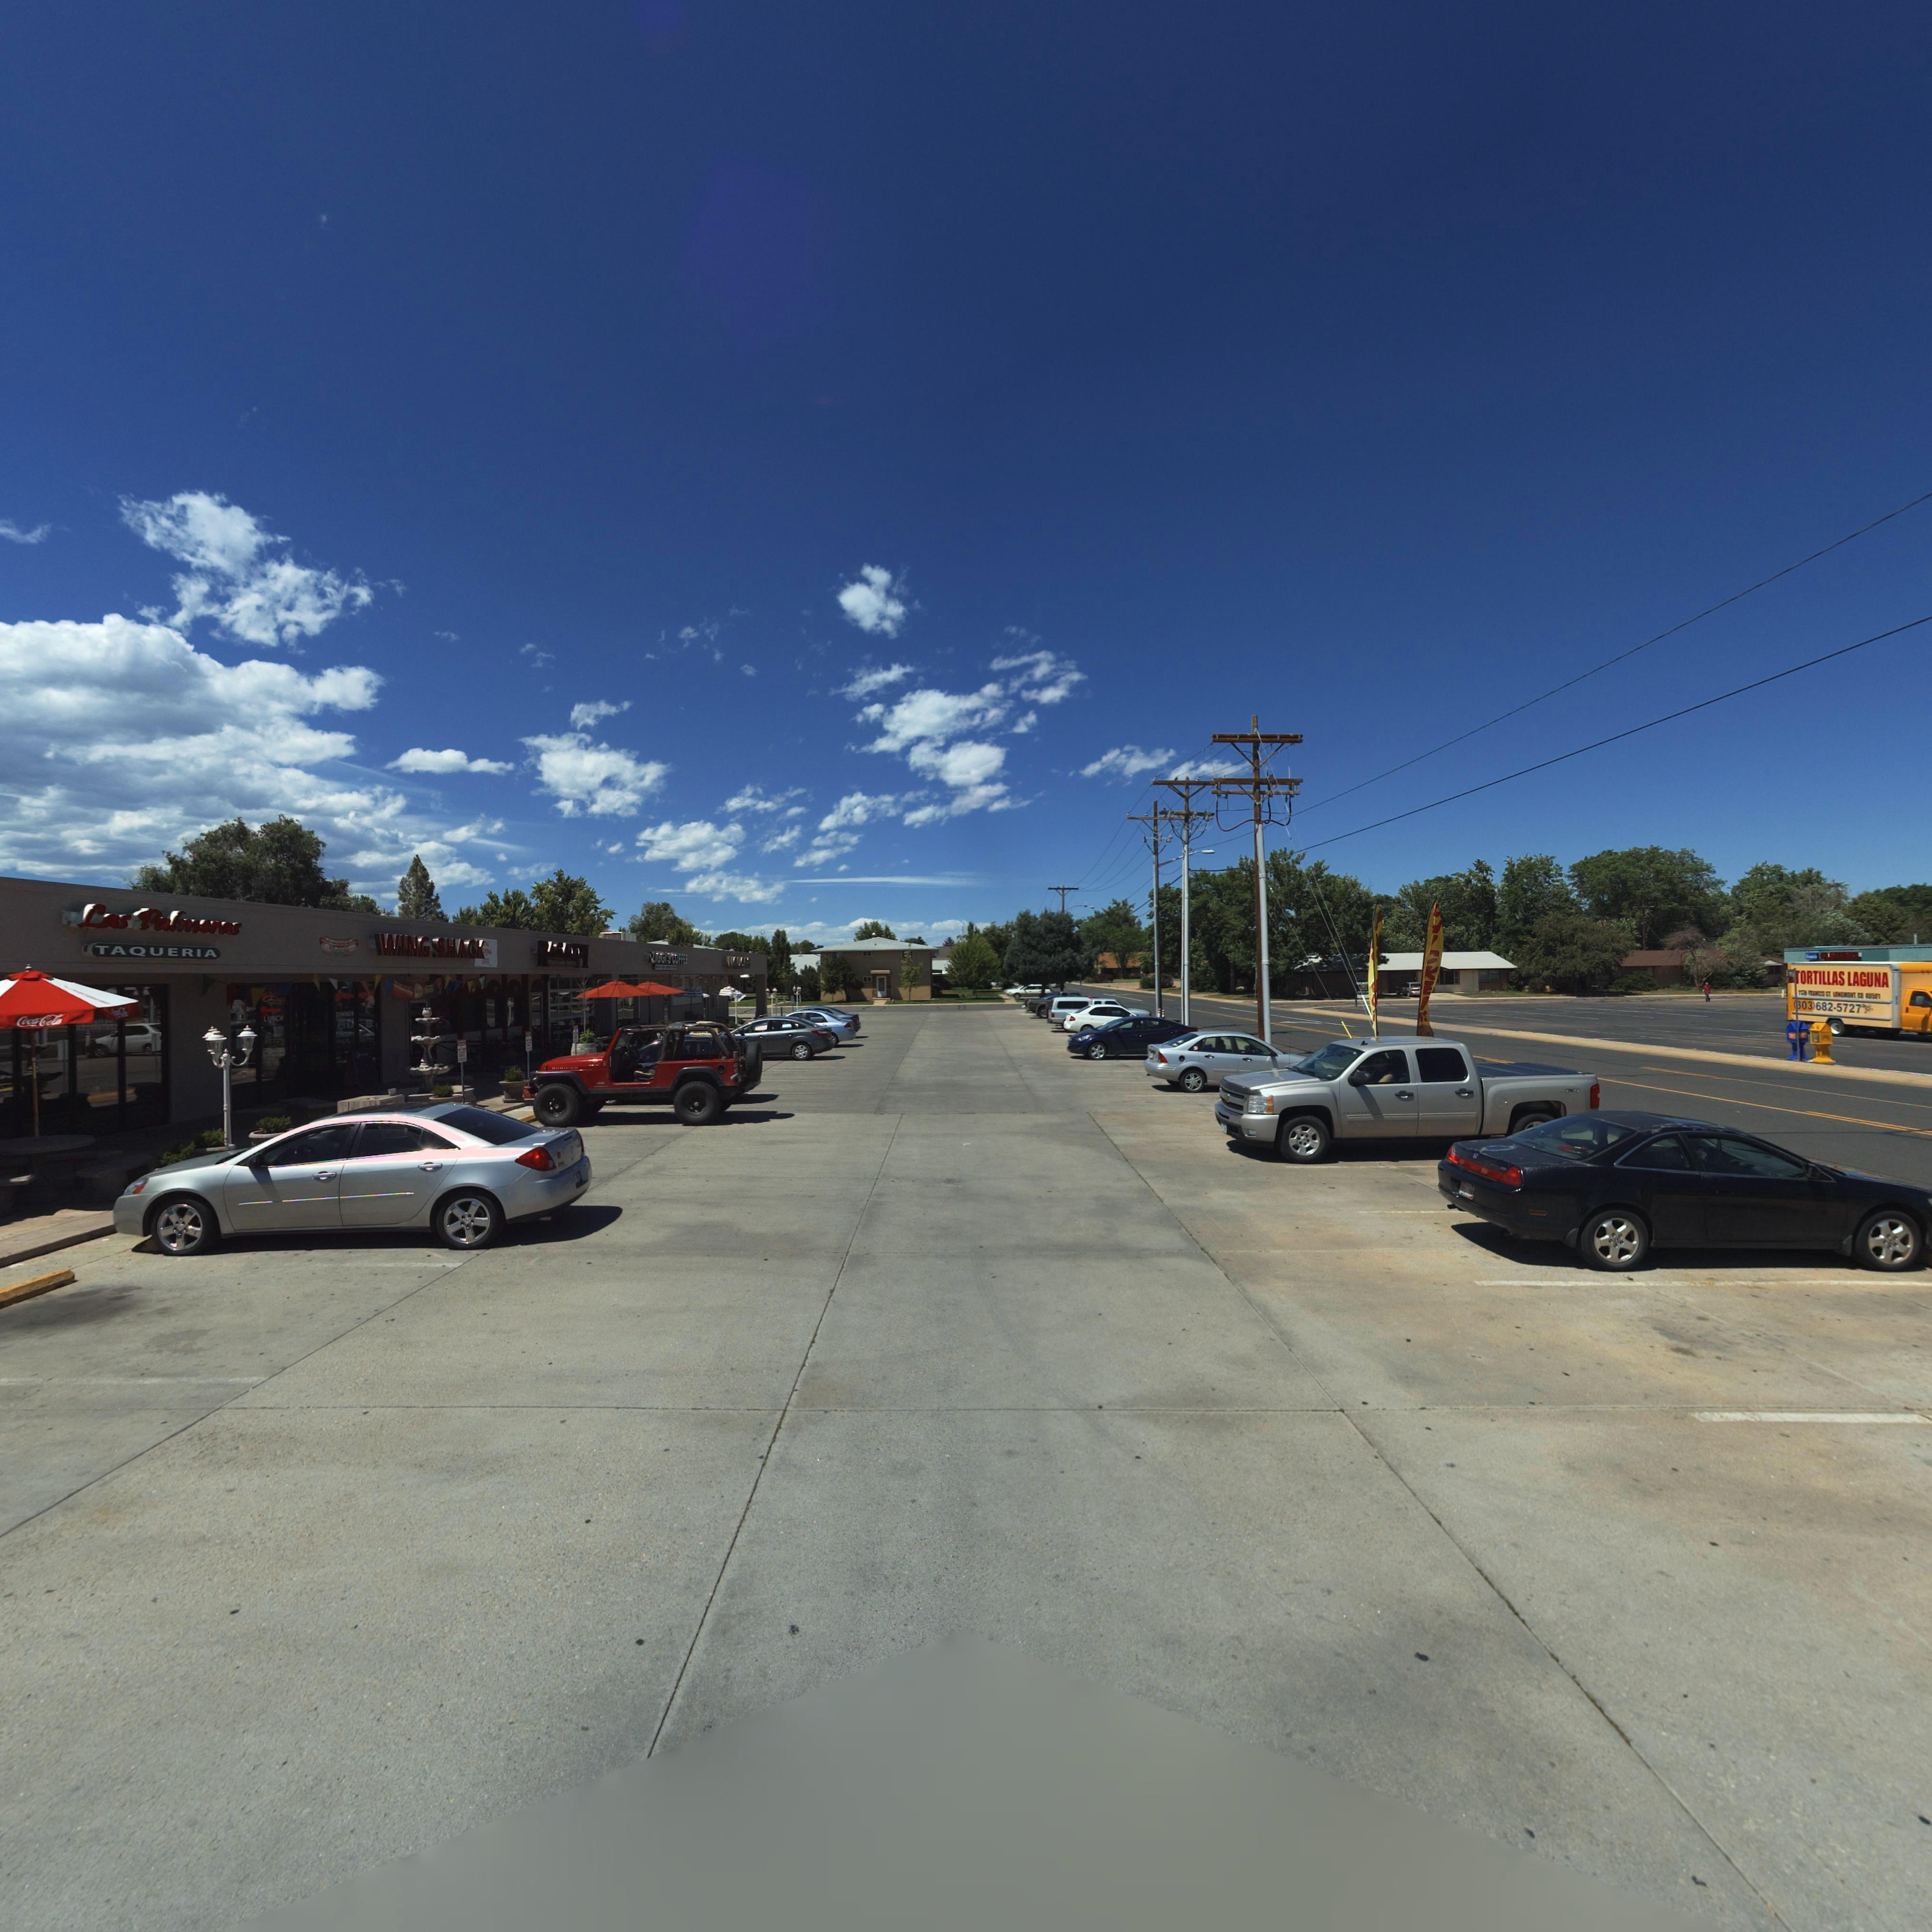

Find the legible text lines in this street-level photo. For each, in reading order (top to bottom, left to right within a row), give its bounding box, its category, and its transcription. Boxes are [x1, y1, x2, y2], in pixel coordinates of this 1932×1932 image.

[77, 903, 242, 935] BusinessName: Las Palmeras
[94, 945, 218, 958] BusinessName: TAQUERIA
[328, 943, 349, 954] BusinessName: Na***S
[377, 932, 485, 959] BusinessName: WING SHACK
[535, 939, 590, 968] BusinessName: RAGAZZI
[650, 950, 688, 964] BusinessName: ZIGGI*S COFFEE
[727, 956, 751, 970] BusinessName: LIQUORS